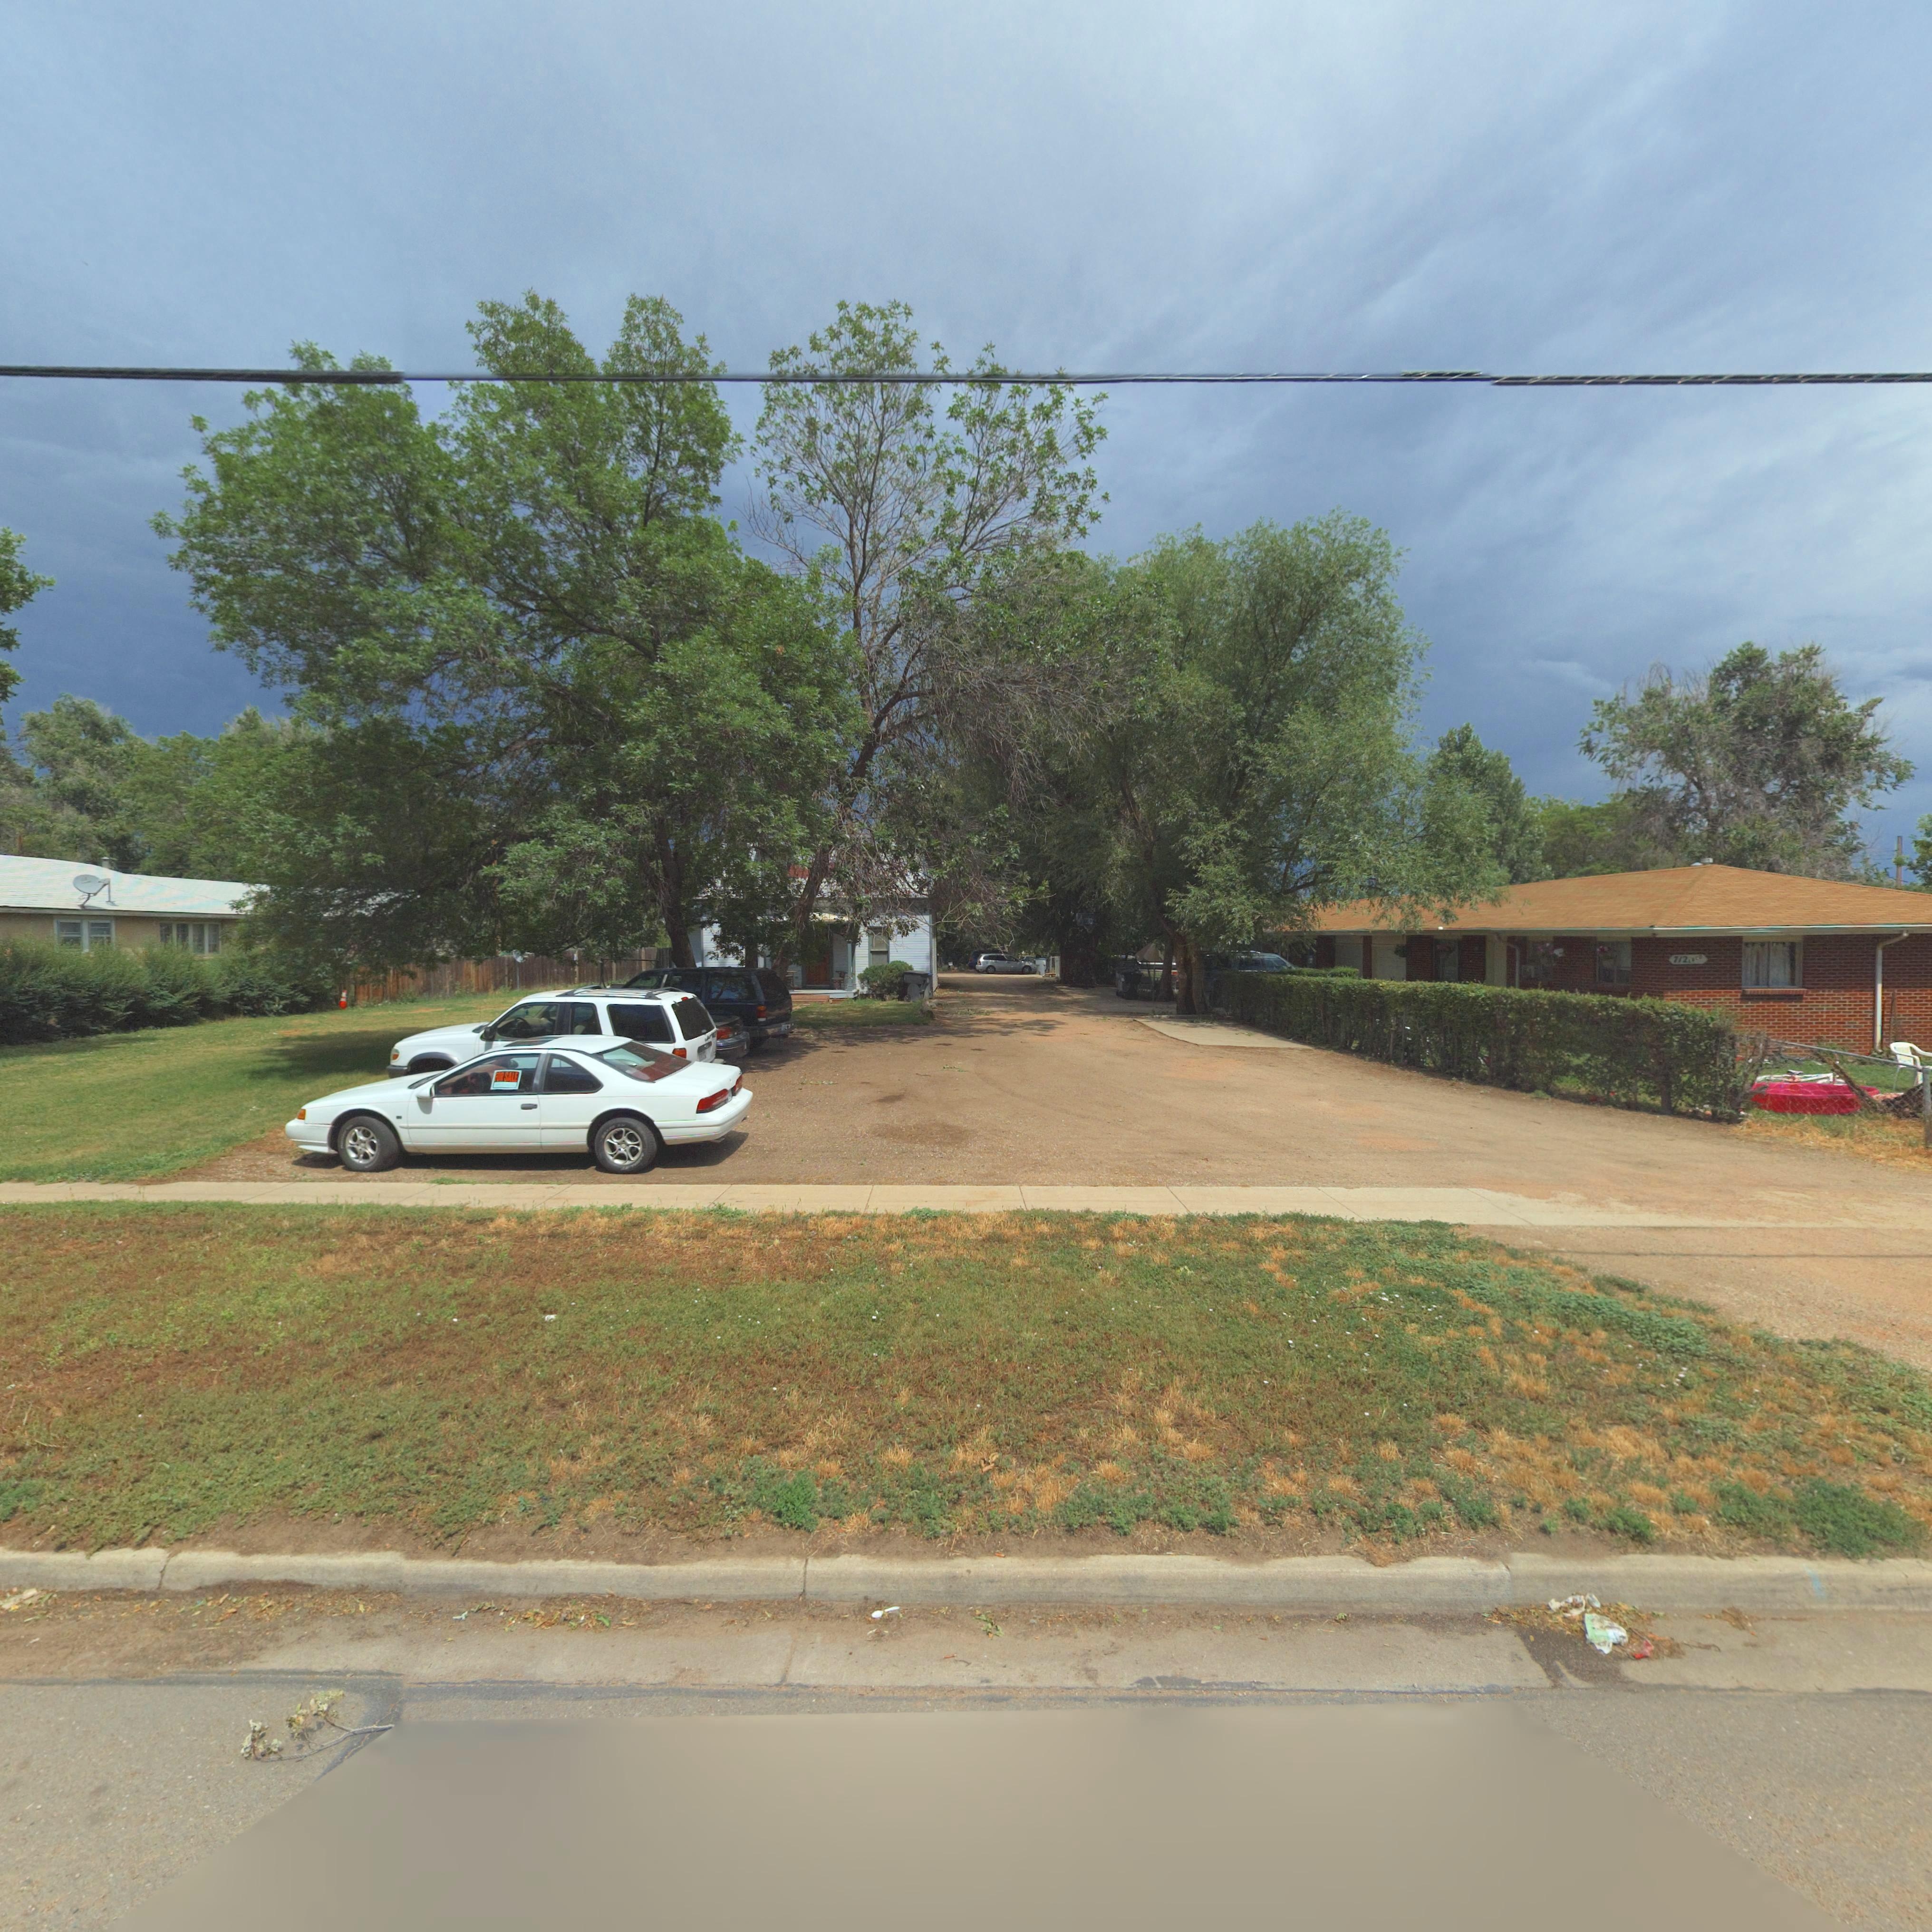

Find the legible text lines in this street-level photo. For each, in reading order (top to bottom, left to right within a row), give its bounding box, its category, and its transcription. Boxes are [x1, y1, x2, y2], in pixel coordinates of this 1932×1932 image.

[1673, 955, 1688, 963] StreetNumber: 712